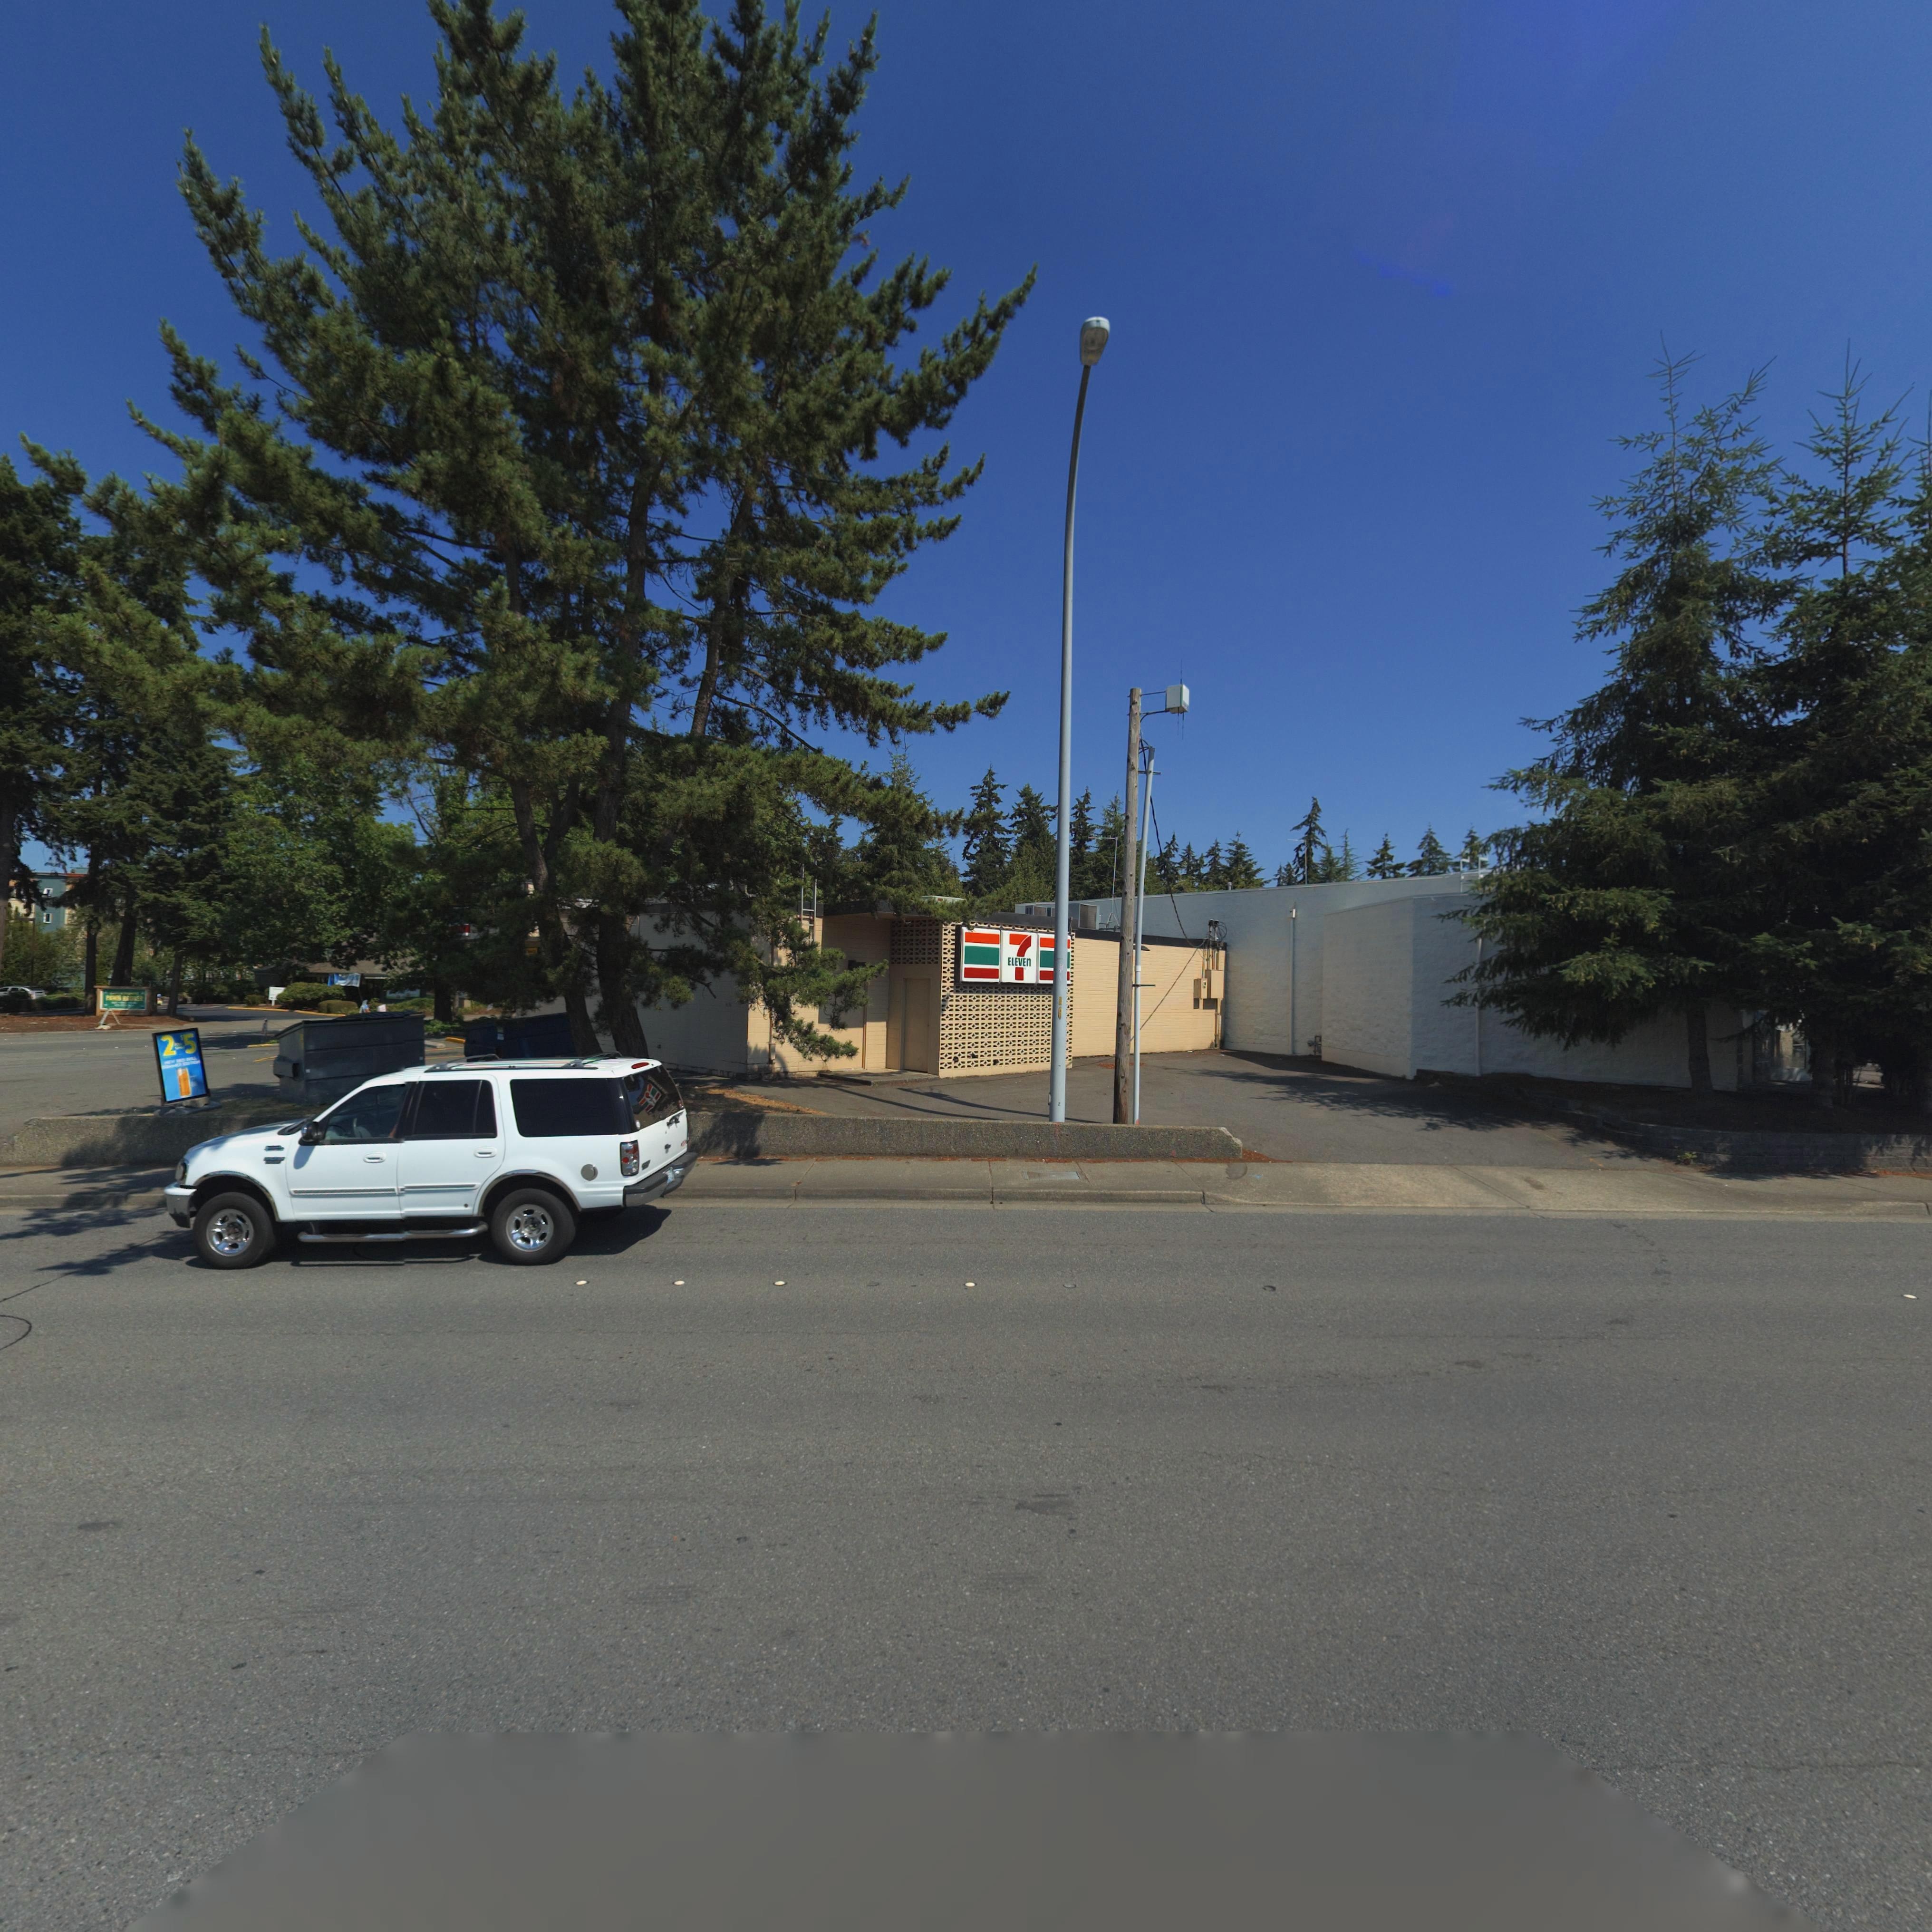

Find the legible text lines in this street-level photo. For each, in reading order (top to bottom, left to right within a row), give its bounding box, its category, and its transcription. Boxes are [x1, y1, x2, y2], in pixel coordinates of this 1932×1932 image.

[1008, 957, 1031, 966] BusinessName: EIEVEn